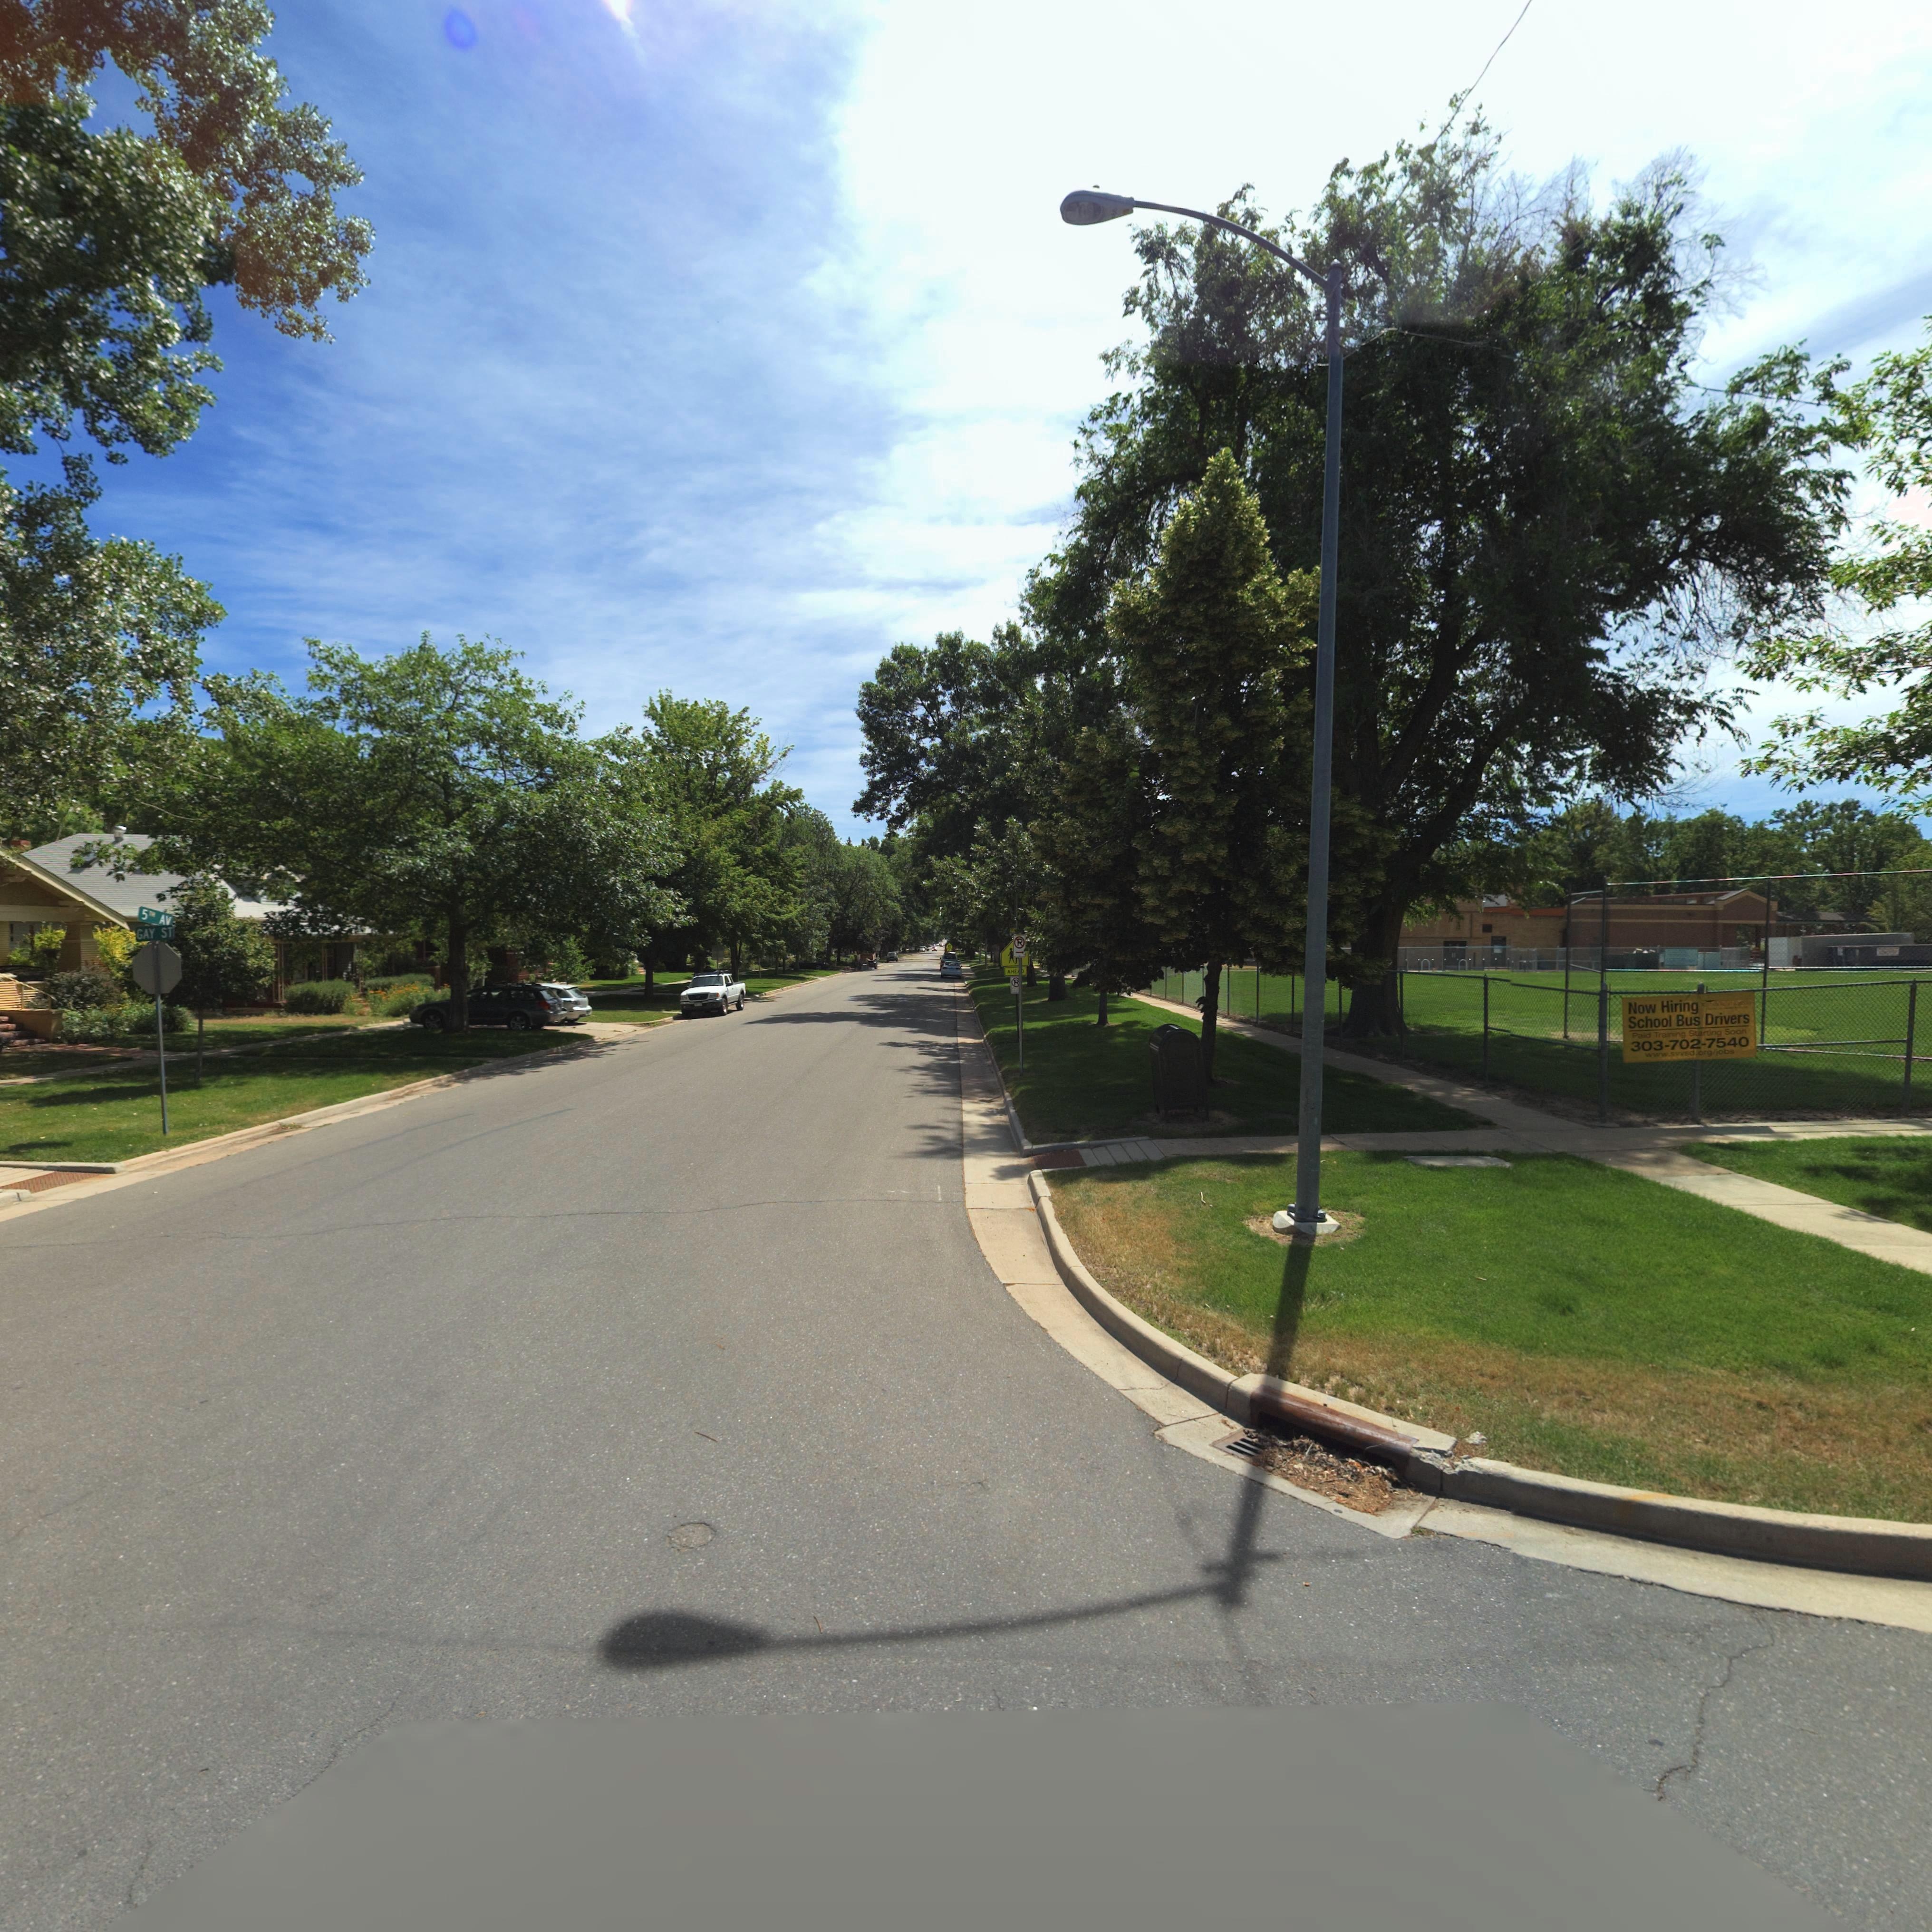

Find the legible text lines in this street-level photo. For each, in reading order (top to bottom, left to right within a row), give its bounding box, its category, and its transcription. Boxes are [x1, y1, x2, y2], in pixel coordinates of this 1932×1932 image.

[141, 908, 172, 926] StreetName: 5** AV
[136, 927, 173, 939] StreetName: GAY ST